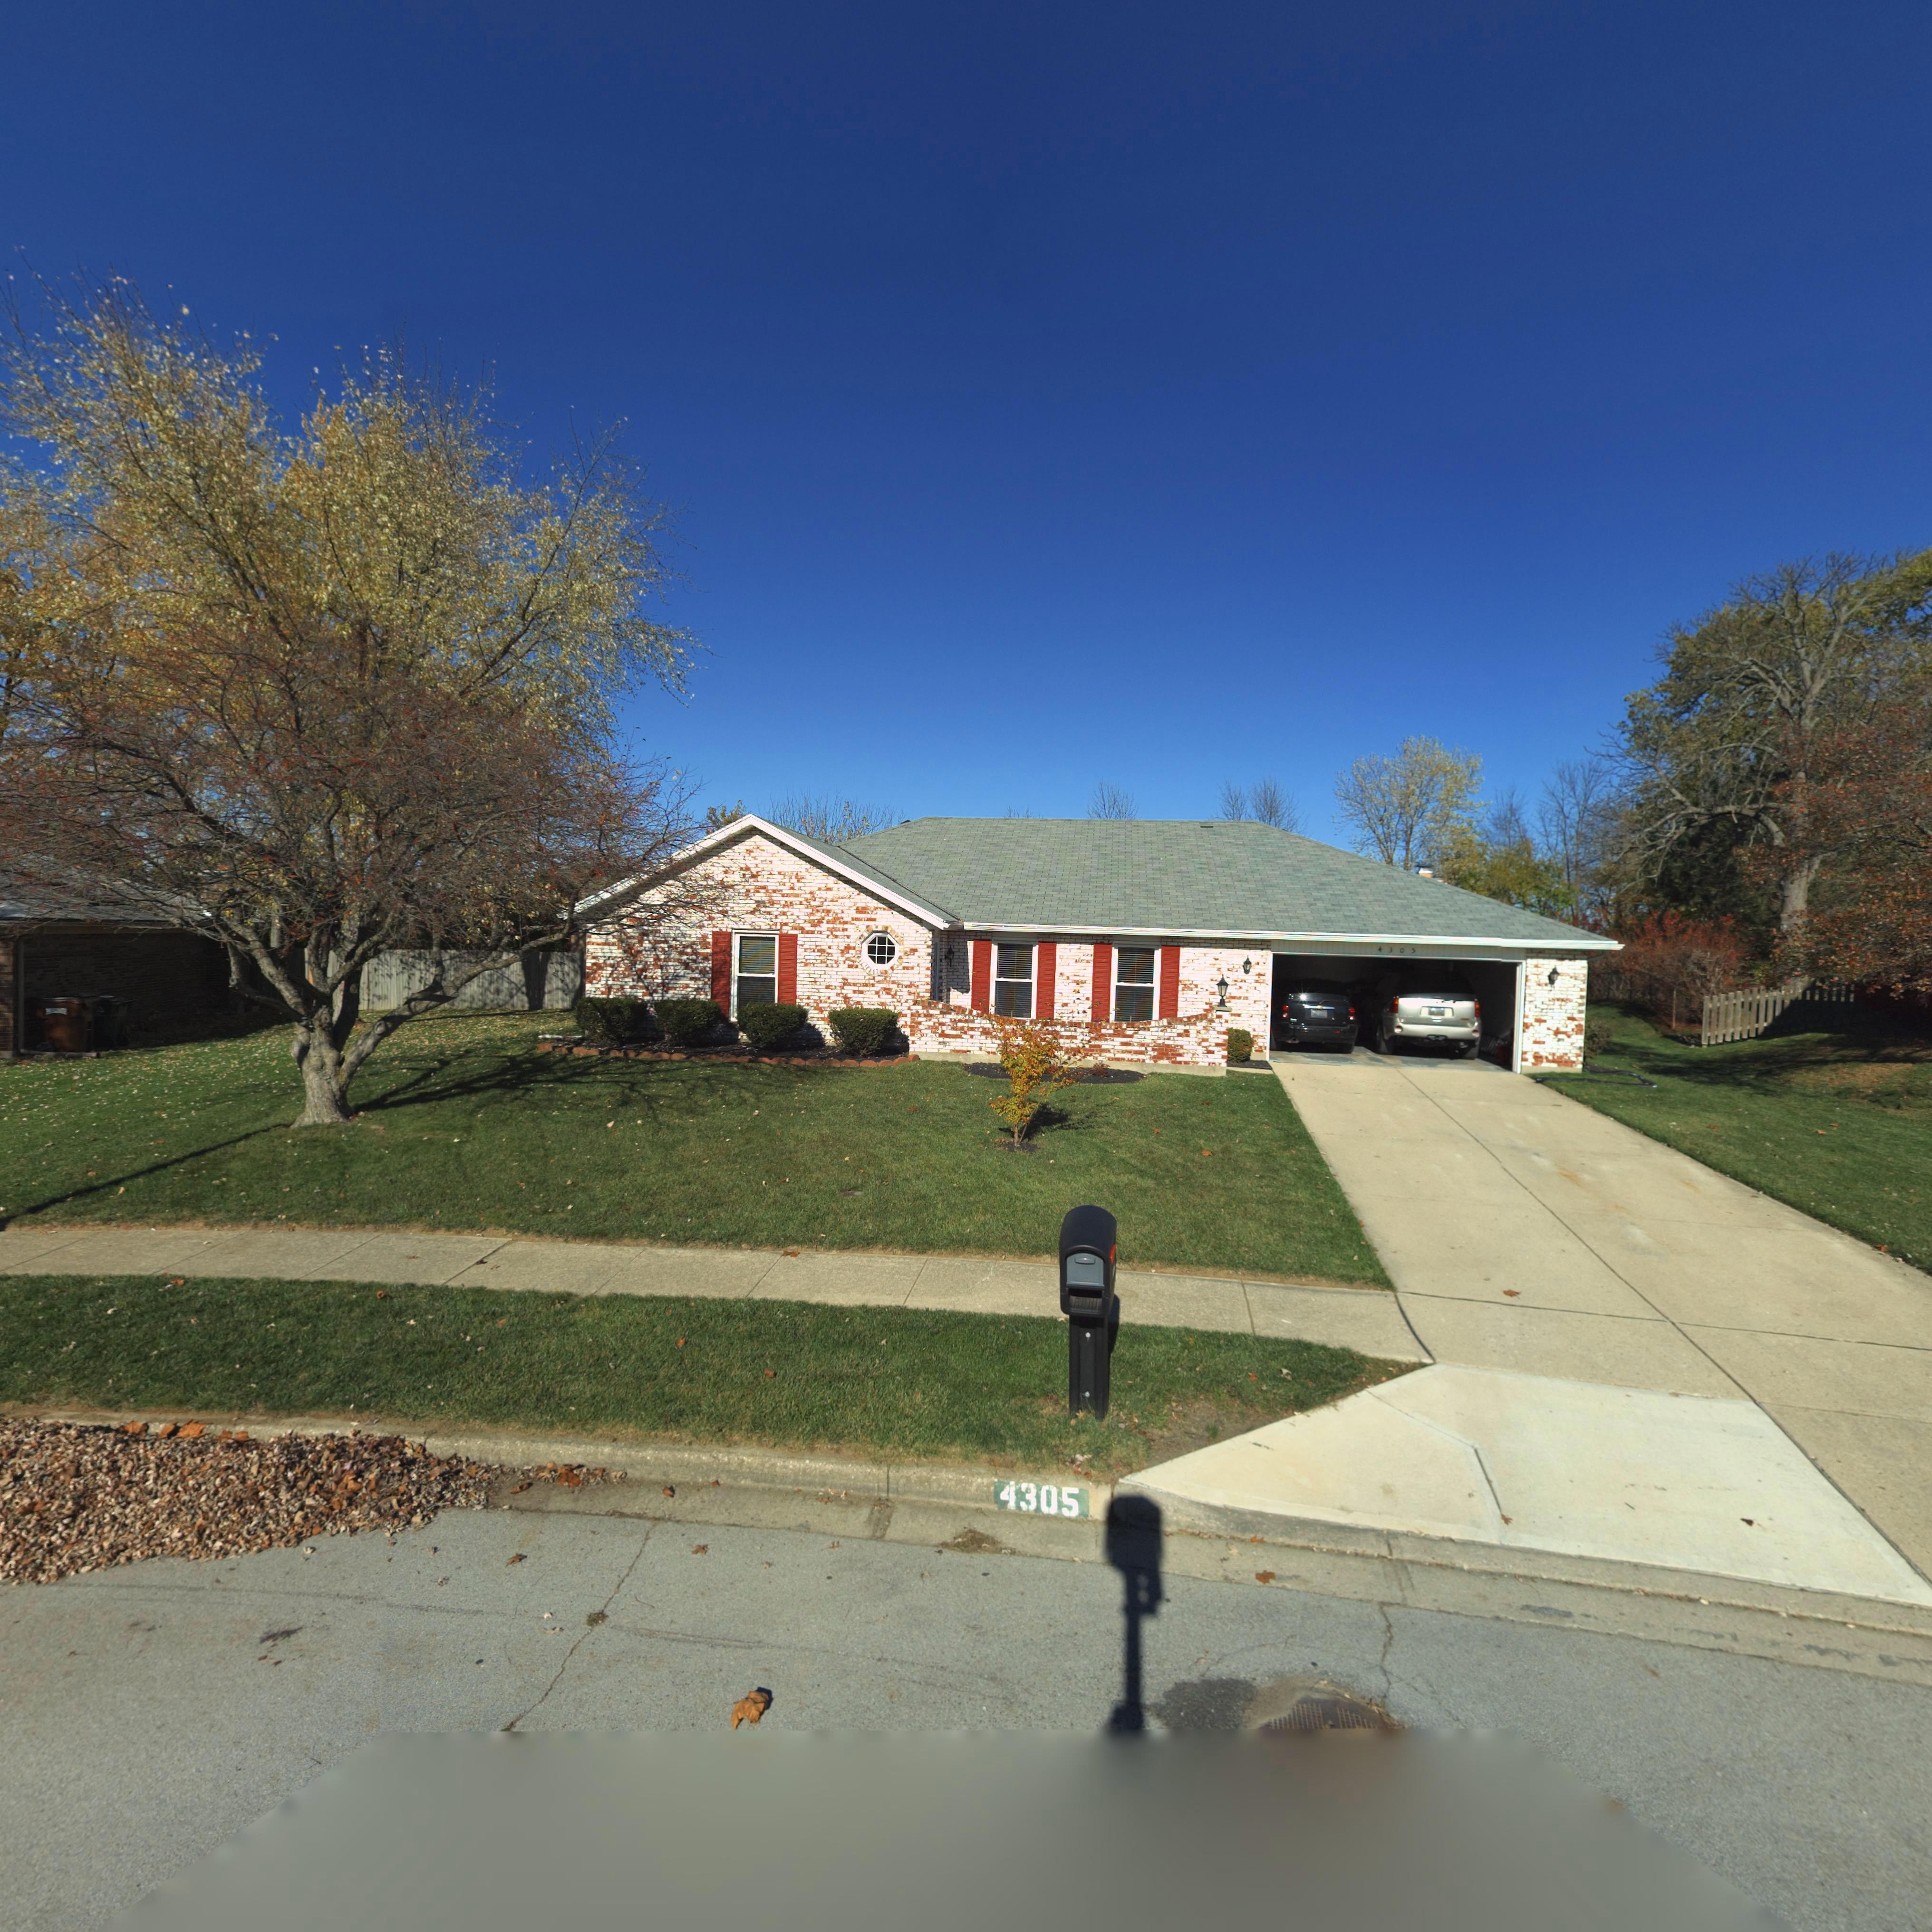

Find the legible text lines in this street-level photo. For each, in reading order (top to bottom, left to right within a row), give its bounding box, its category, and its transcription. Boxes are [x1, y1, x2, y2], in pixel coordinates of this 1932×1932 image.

[1377, 946, 1416, 954] StreetNumber: 4305
[998, 1479, 1080, 1518] StreetNumber: 4305